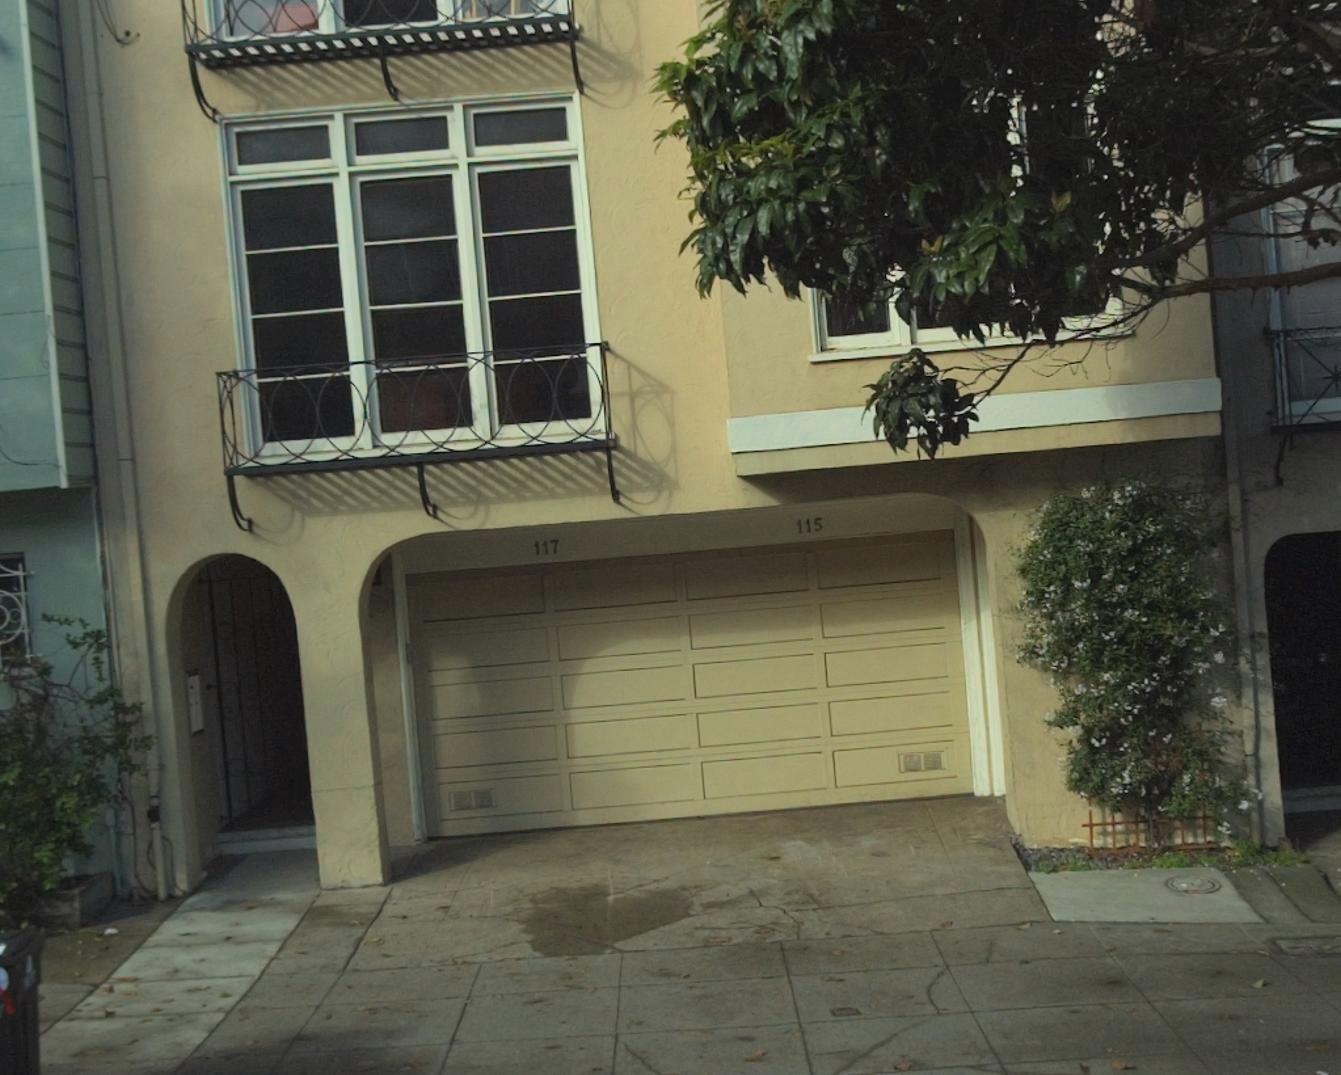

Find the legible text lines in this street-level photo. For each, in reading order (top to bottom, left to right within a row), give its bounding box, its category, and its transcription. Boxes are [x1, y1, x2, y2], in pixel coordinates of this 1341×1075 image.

[793, 513, 826, 538] StreetNumber: 115
[531, 537, 562, 559] StreetNumber: 117